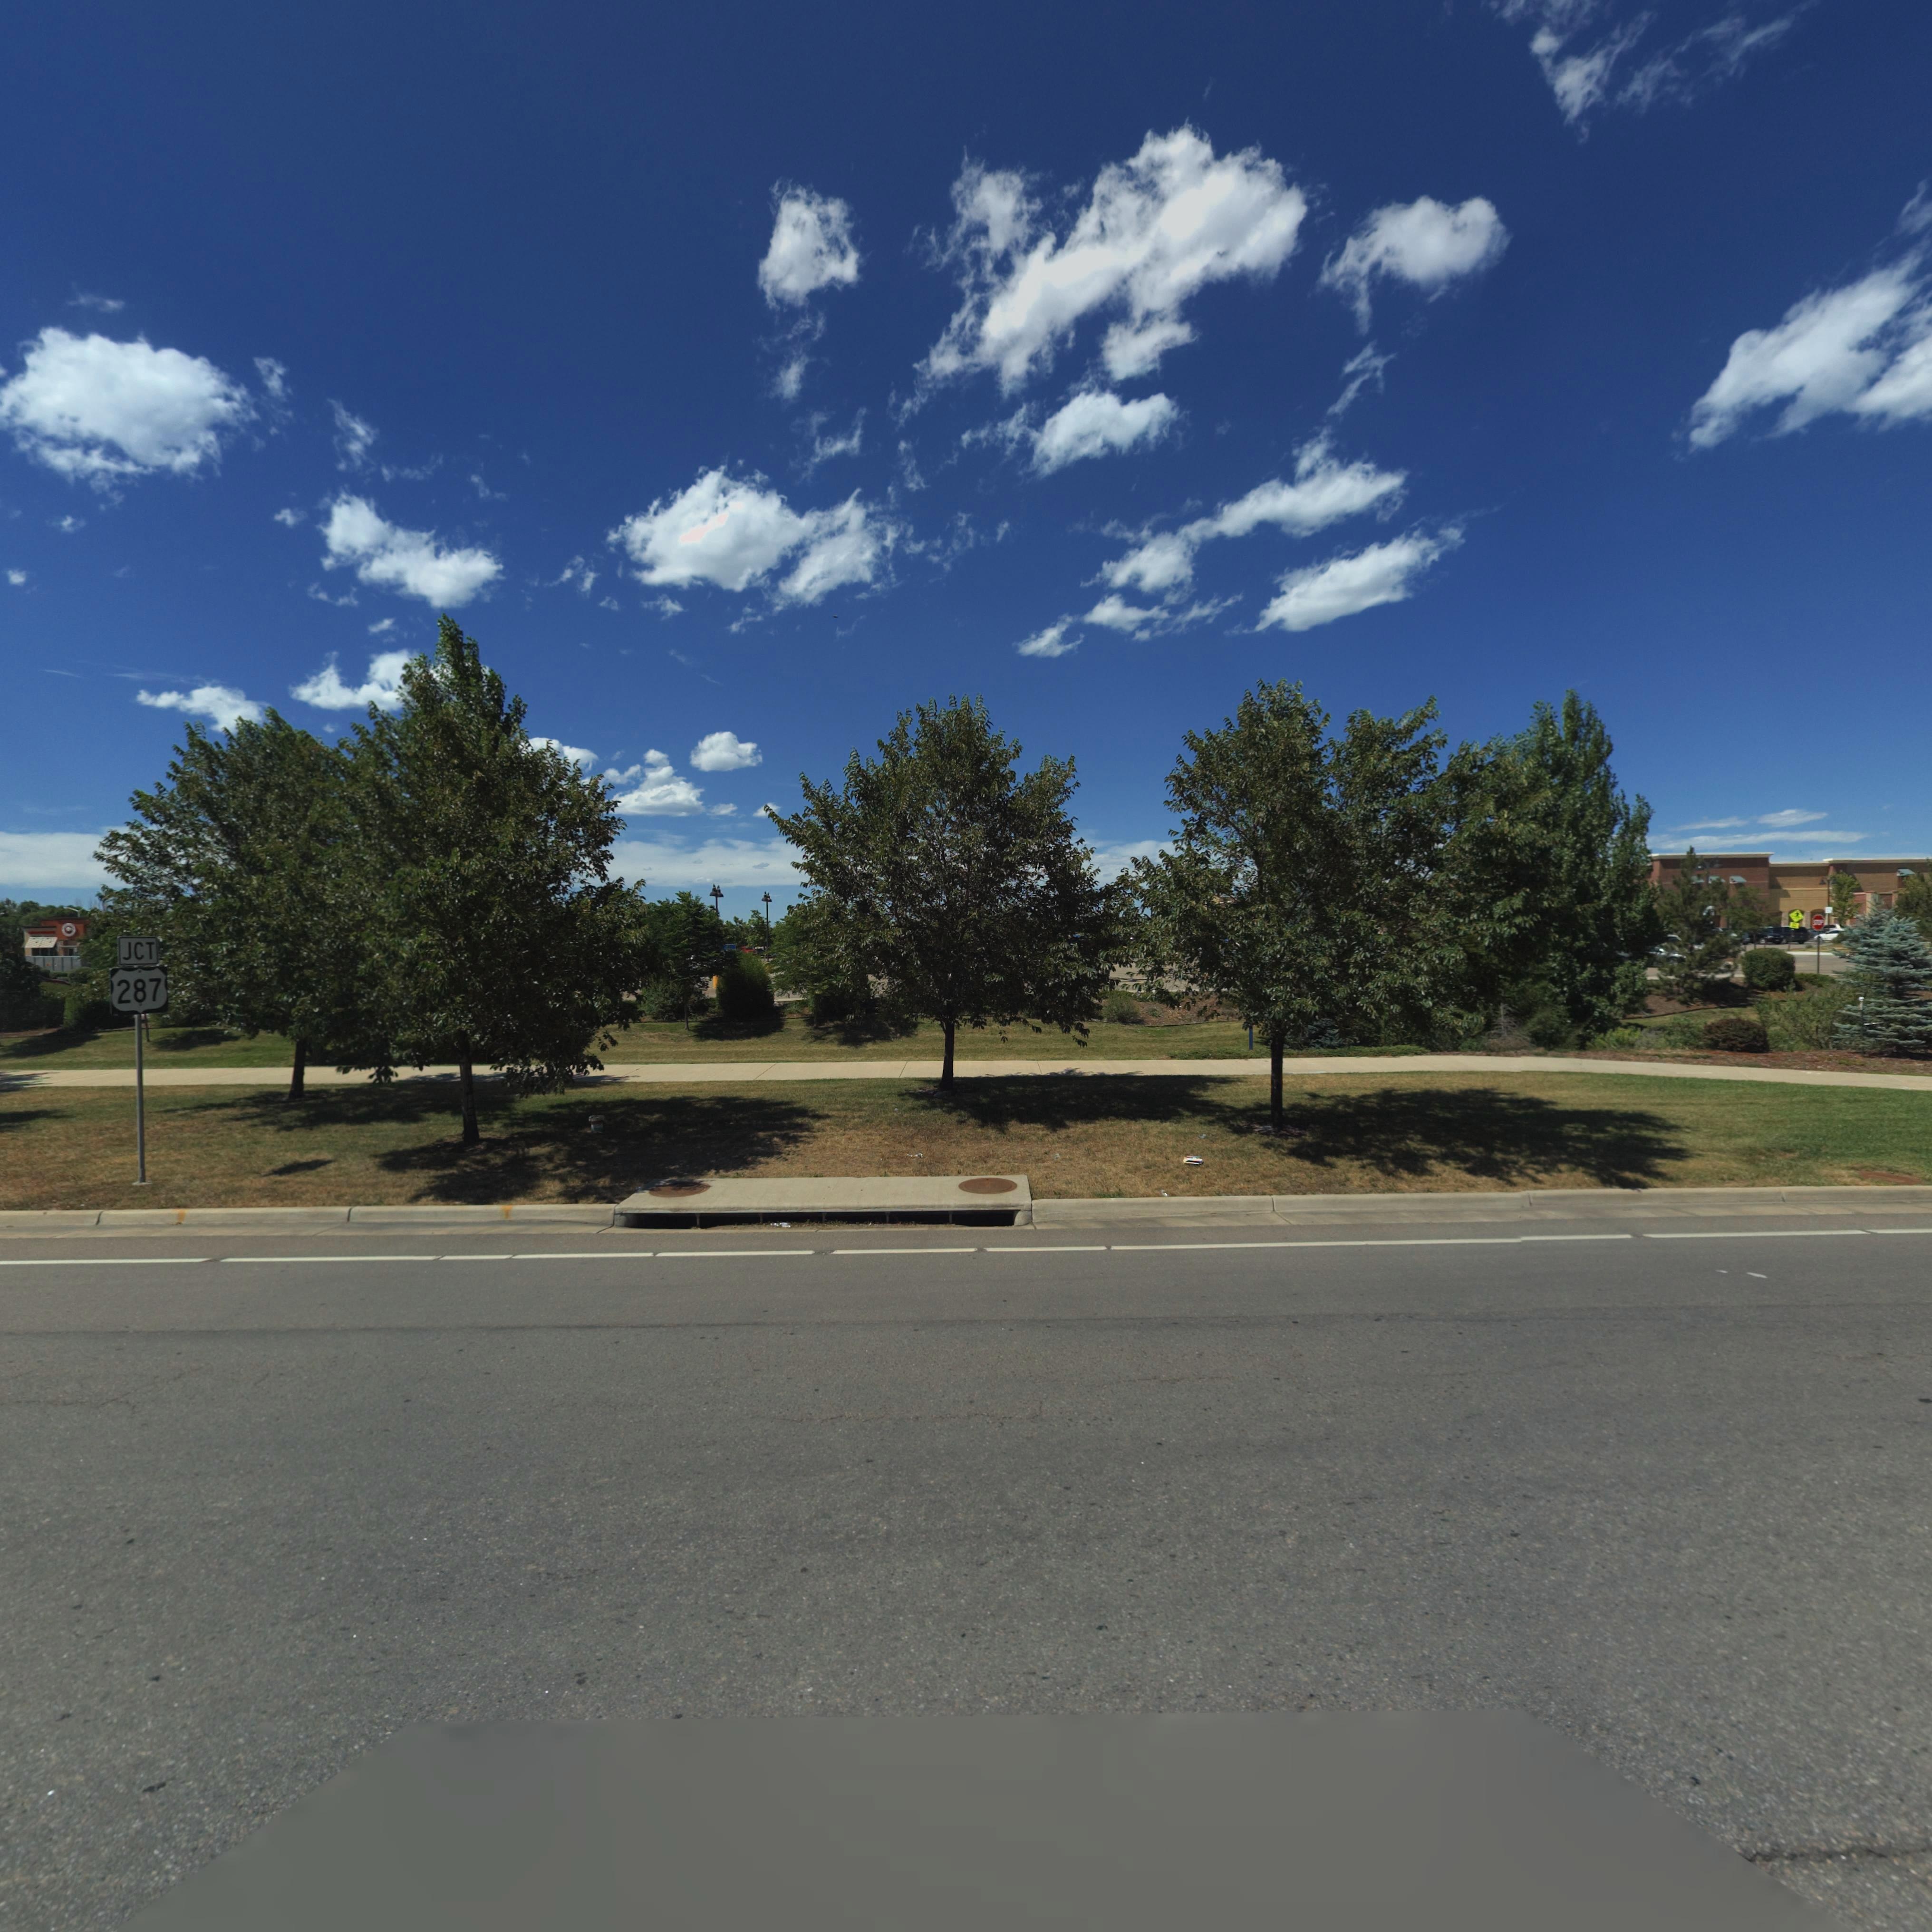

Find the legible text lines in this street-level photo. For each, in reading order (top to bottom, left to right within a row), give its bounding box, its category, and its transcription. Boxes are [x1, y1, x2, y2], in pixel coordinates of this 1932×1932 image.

[122, 942, 155, 960] BusinessName: JCT
[117, 977, 161, 1004] StreetNumber: 287